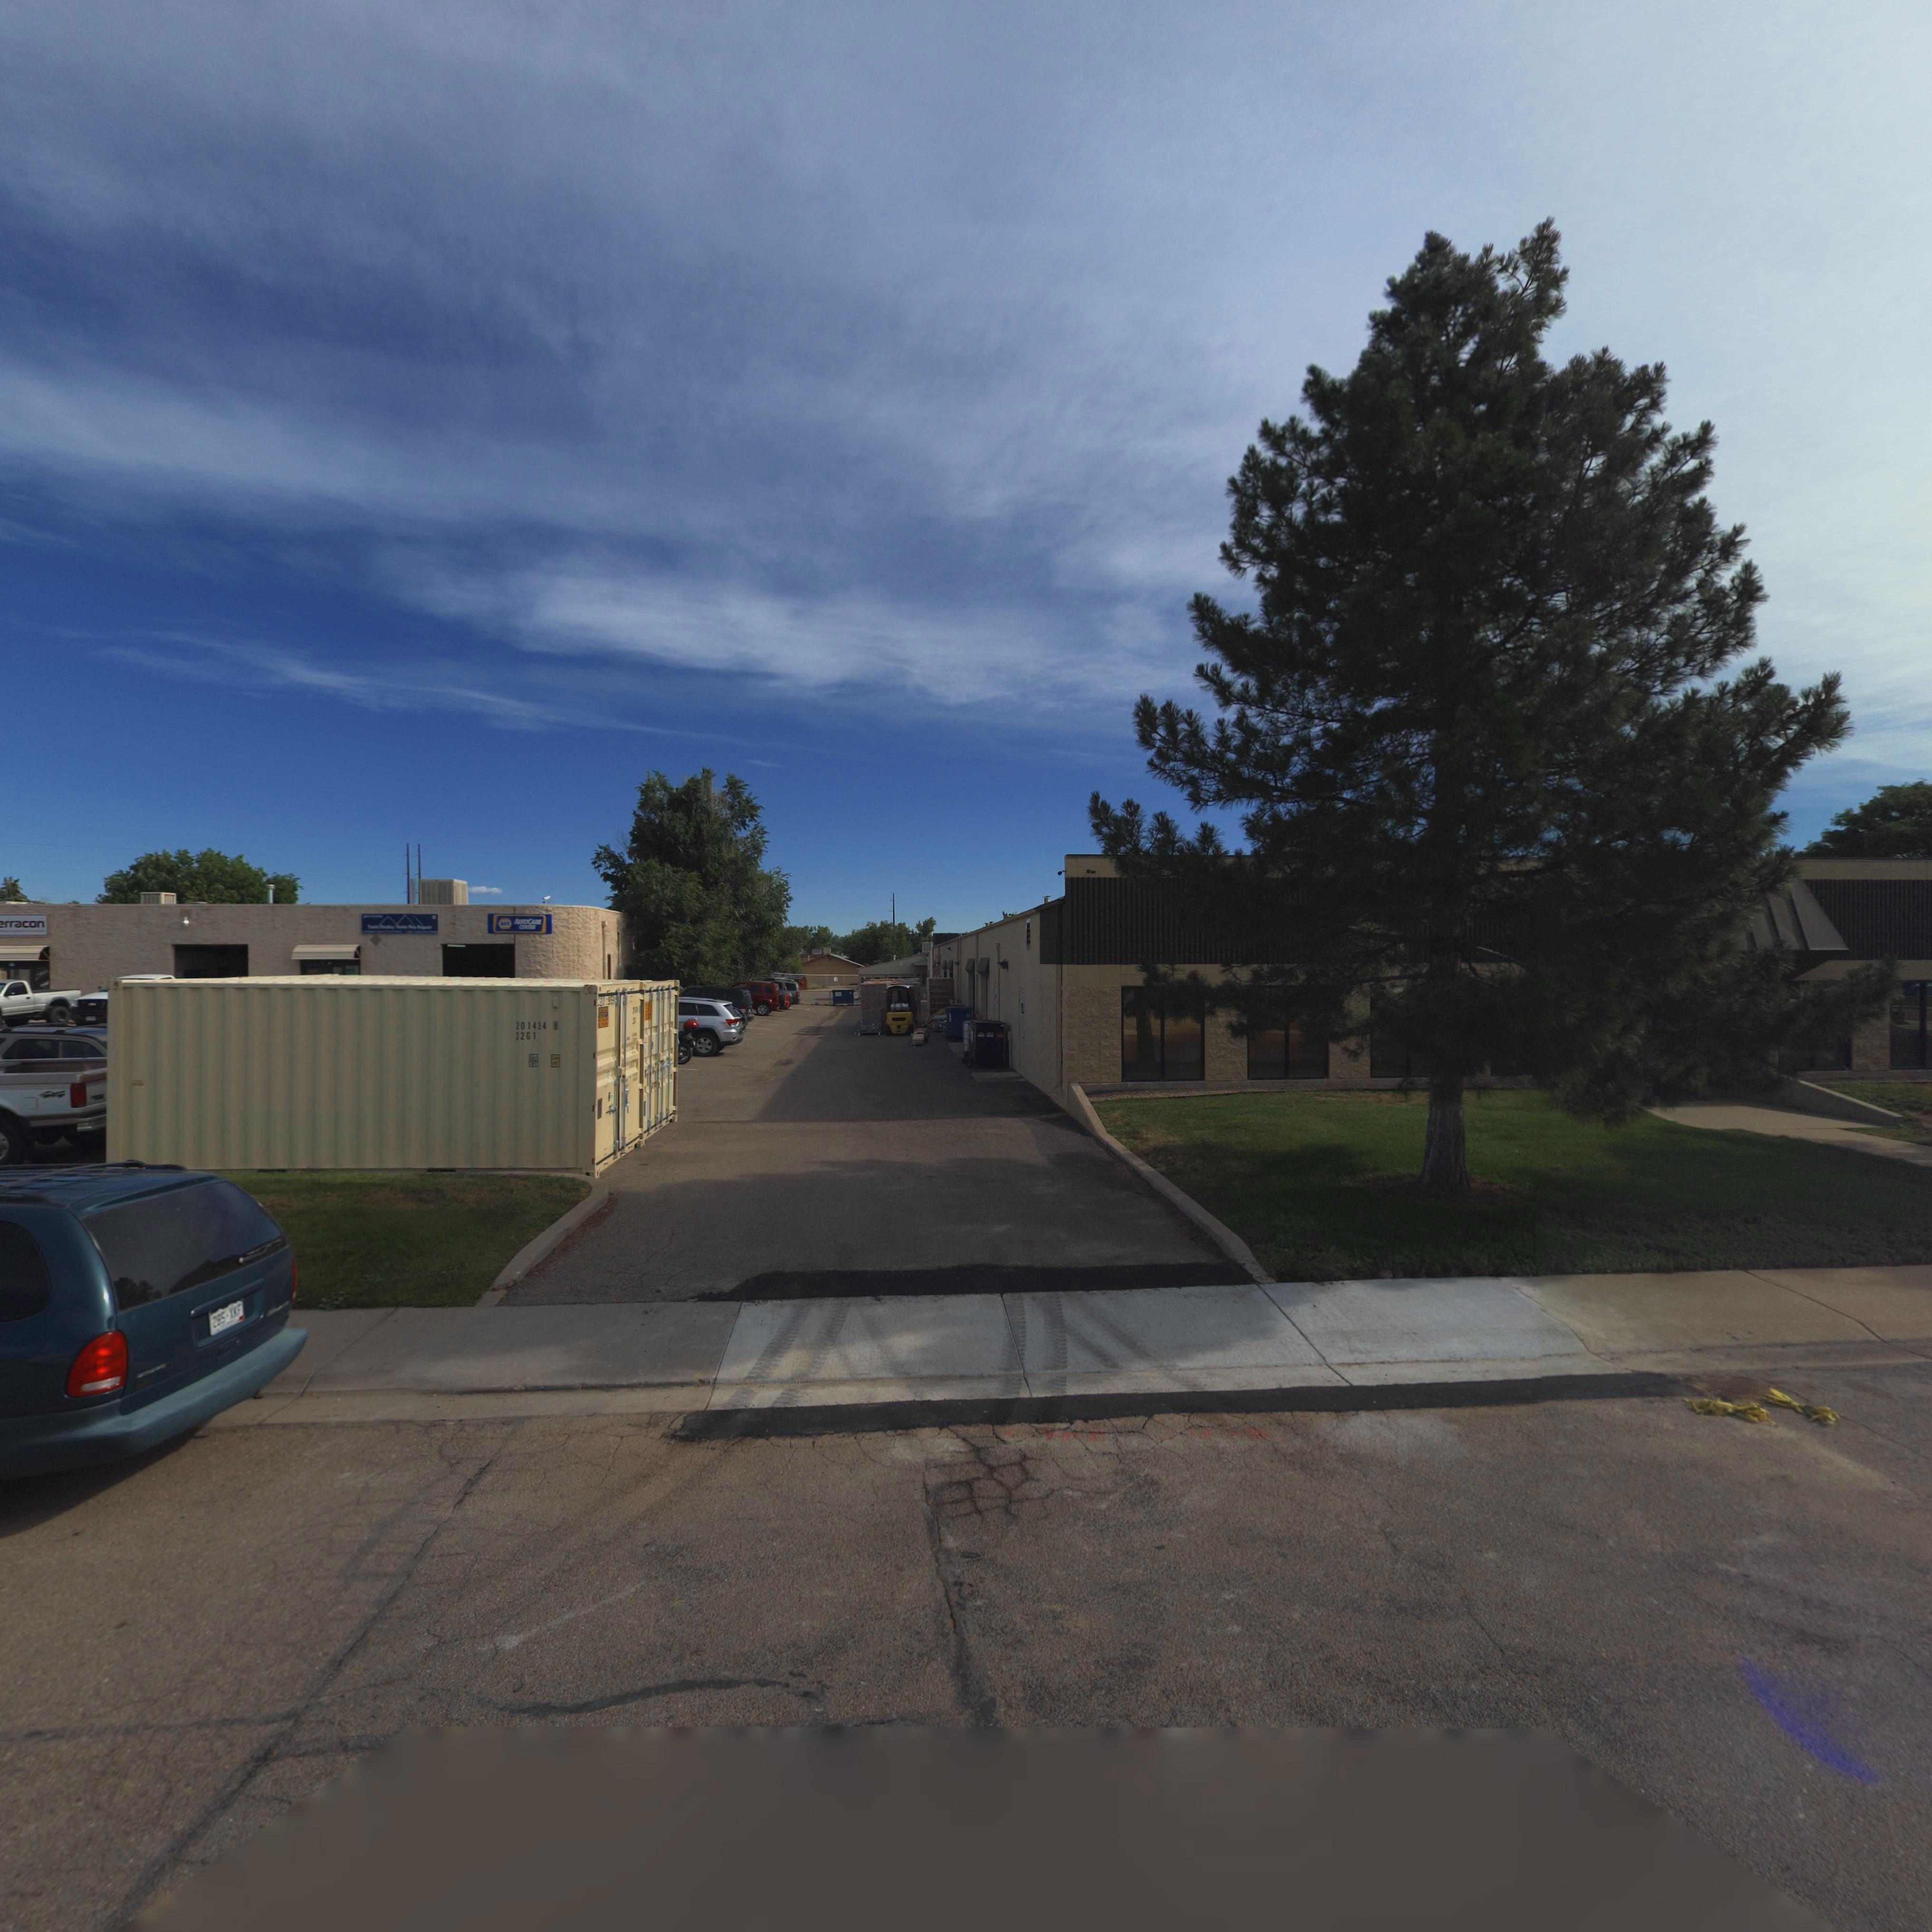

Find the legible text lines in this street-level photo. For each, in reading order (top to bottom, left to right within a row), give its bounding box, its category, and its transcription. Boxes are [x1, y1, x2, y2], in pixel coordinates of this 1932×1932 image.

[5, 920, 44, 928] BusinessName: rracon
[366, 924, 433, 930] BusinessName: T*** P*** *** R***
[500, 921, 510, 926] BusinessName: *AP*
[513, 918, 541, 924] BusinessName: AUTOCARE
[519, 925, 536, 929] BusinessName: CE*TER